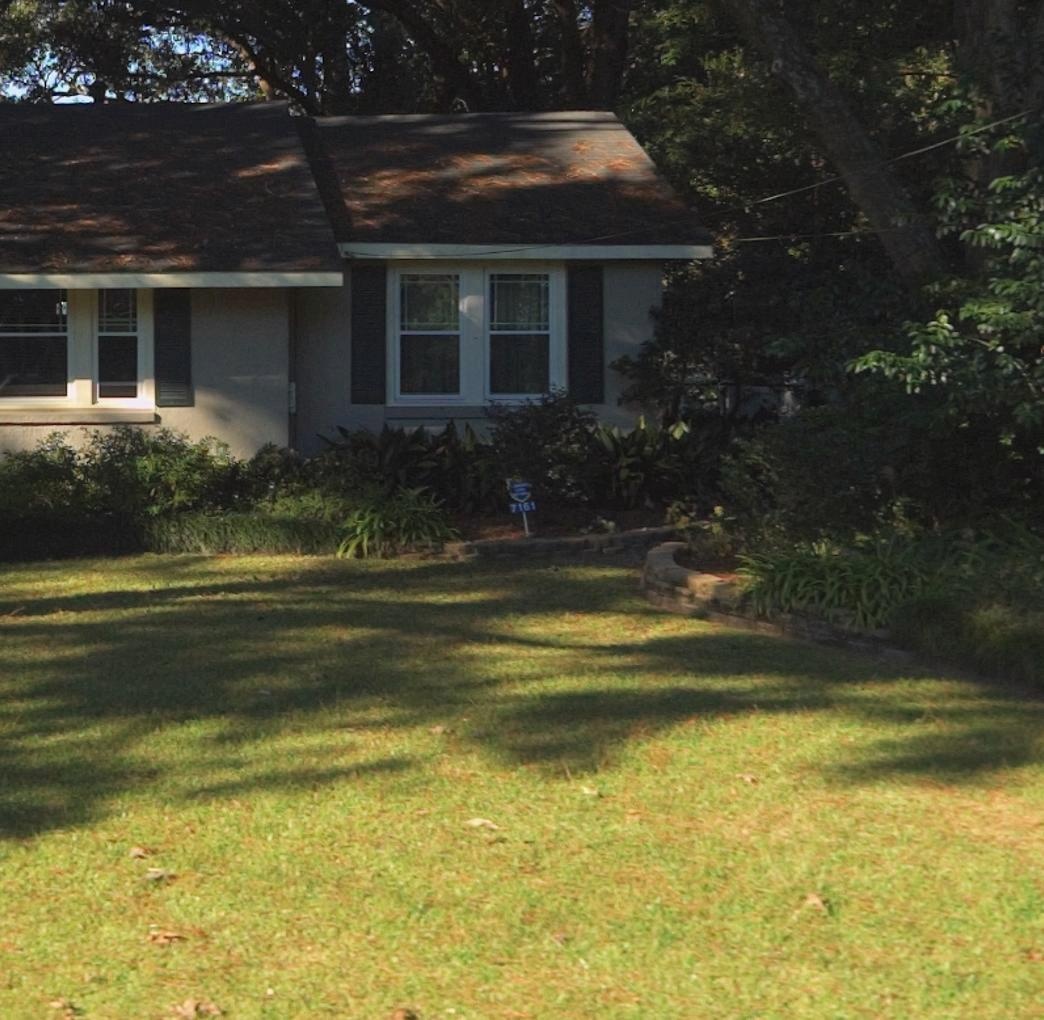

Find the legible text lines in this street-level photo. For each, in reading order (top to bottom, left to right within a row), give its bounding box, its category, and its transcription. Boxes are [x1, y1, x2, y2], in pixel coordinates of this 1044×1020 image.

[509, 500, 537, 515] StreetNumber: 7161